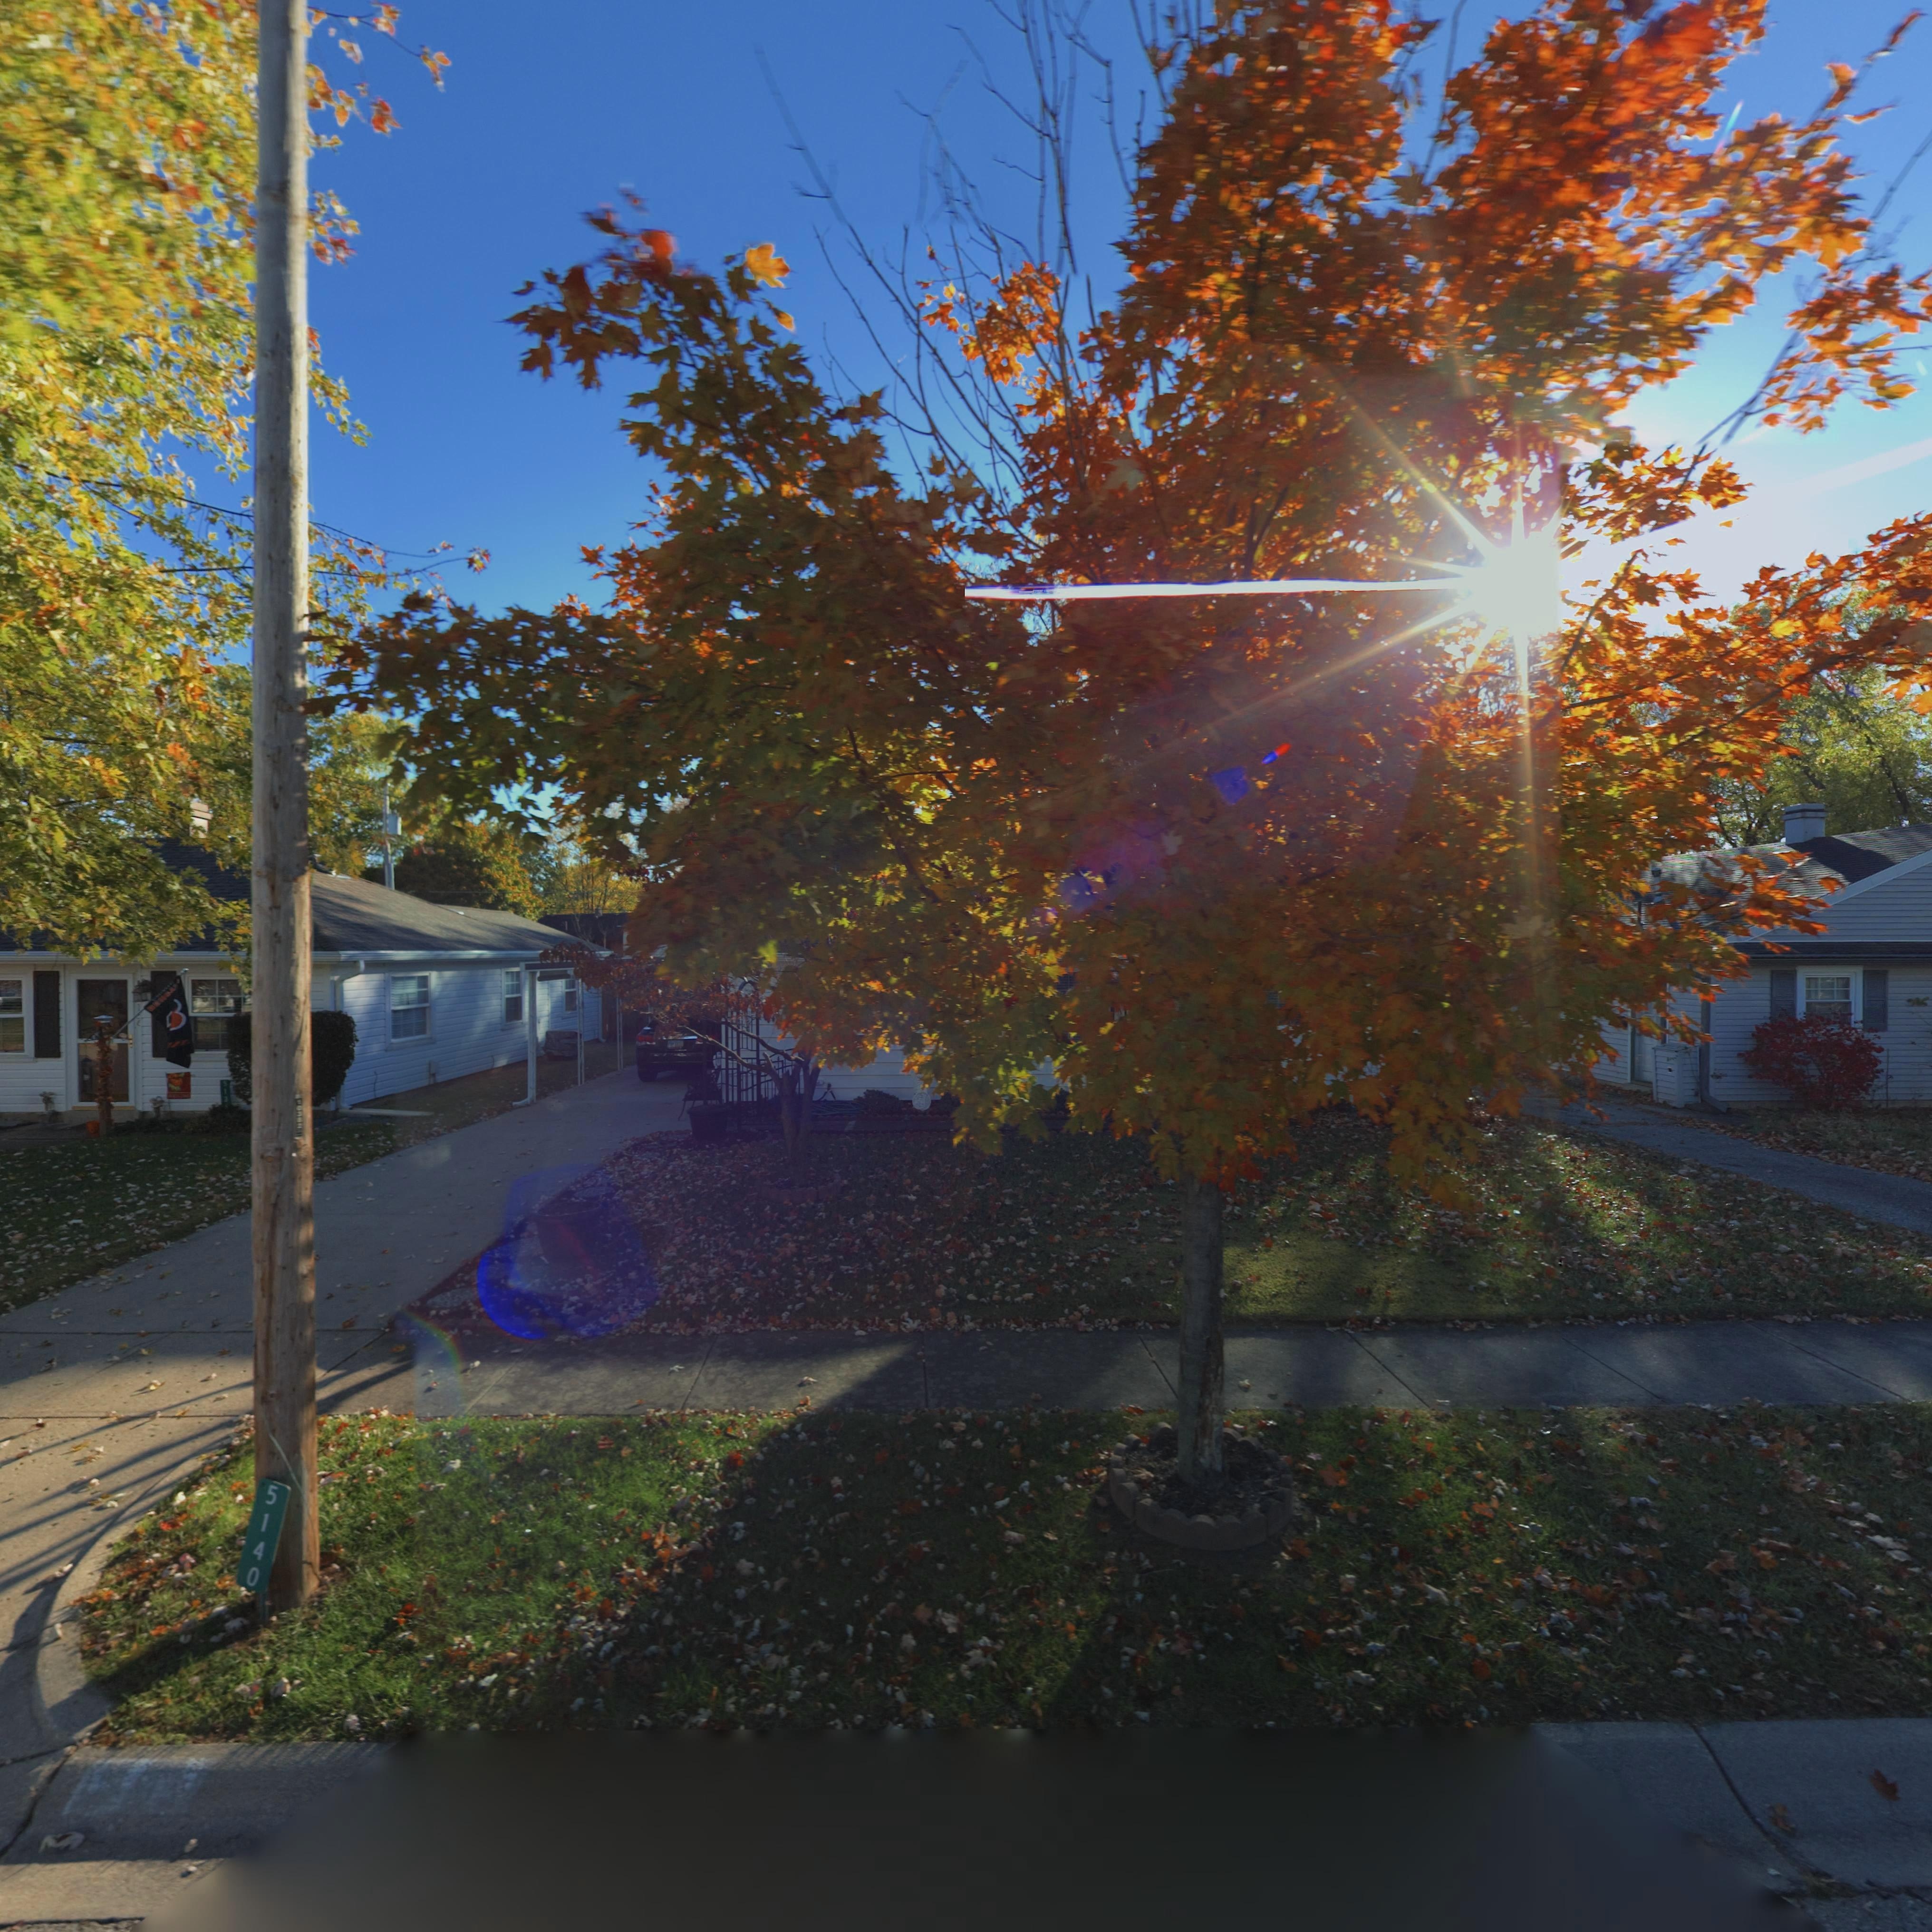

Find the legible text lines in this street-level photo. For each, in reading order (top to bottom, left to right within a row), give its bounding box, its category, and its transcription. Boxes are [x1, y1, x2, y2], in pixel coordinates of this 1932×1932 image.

[222, 1080, 229, 1103] StreetNumber: 513
[245, 1482, 280, 1589] StreetNumber: 5140